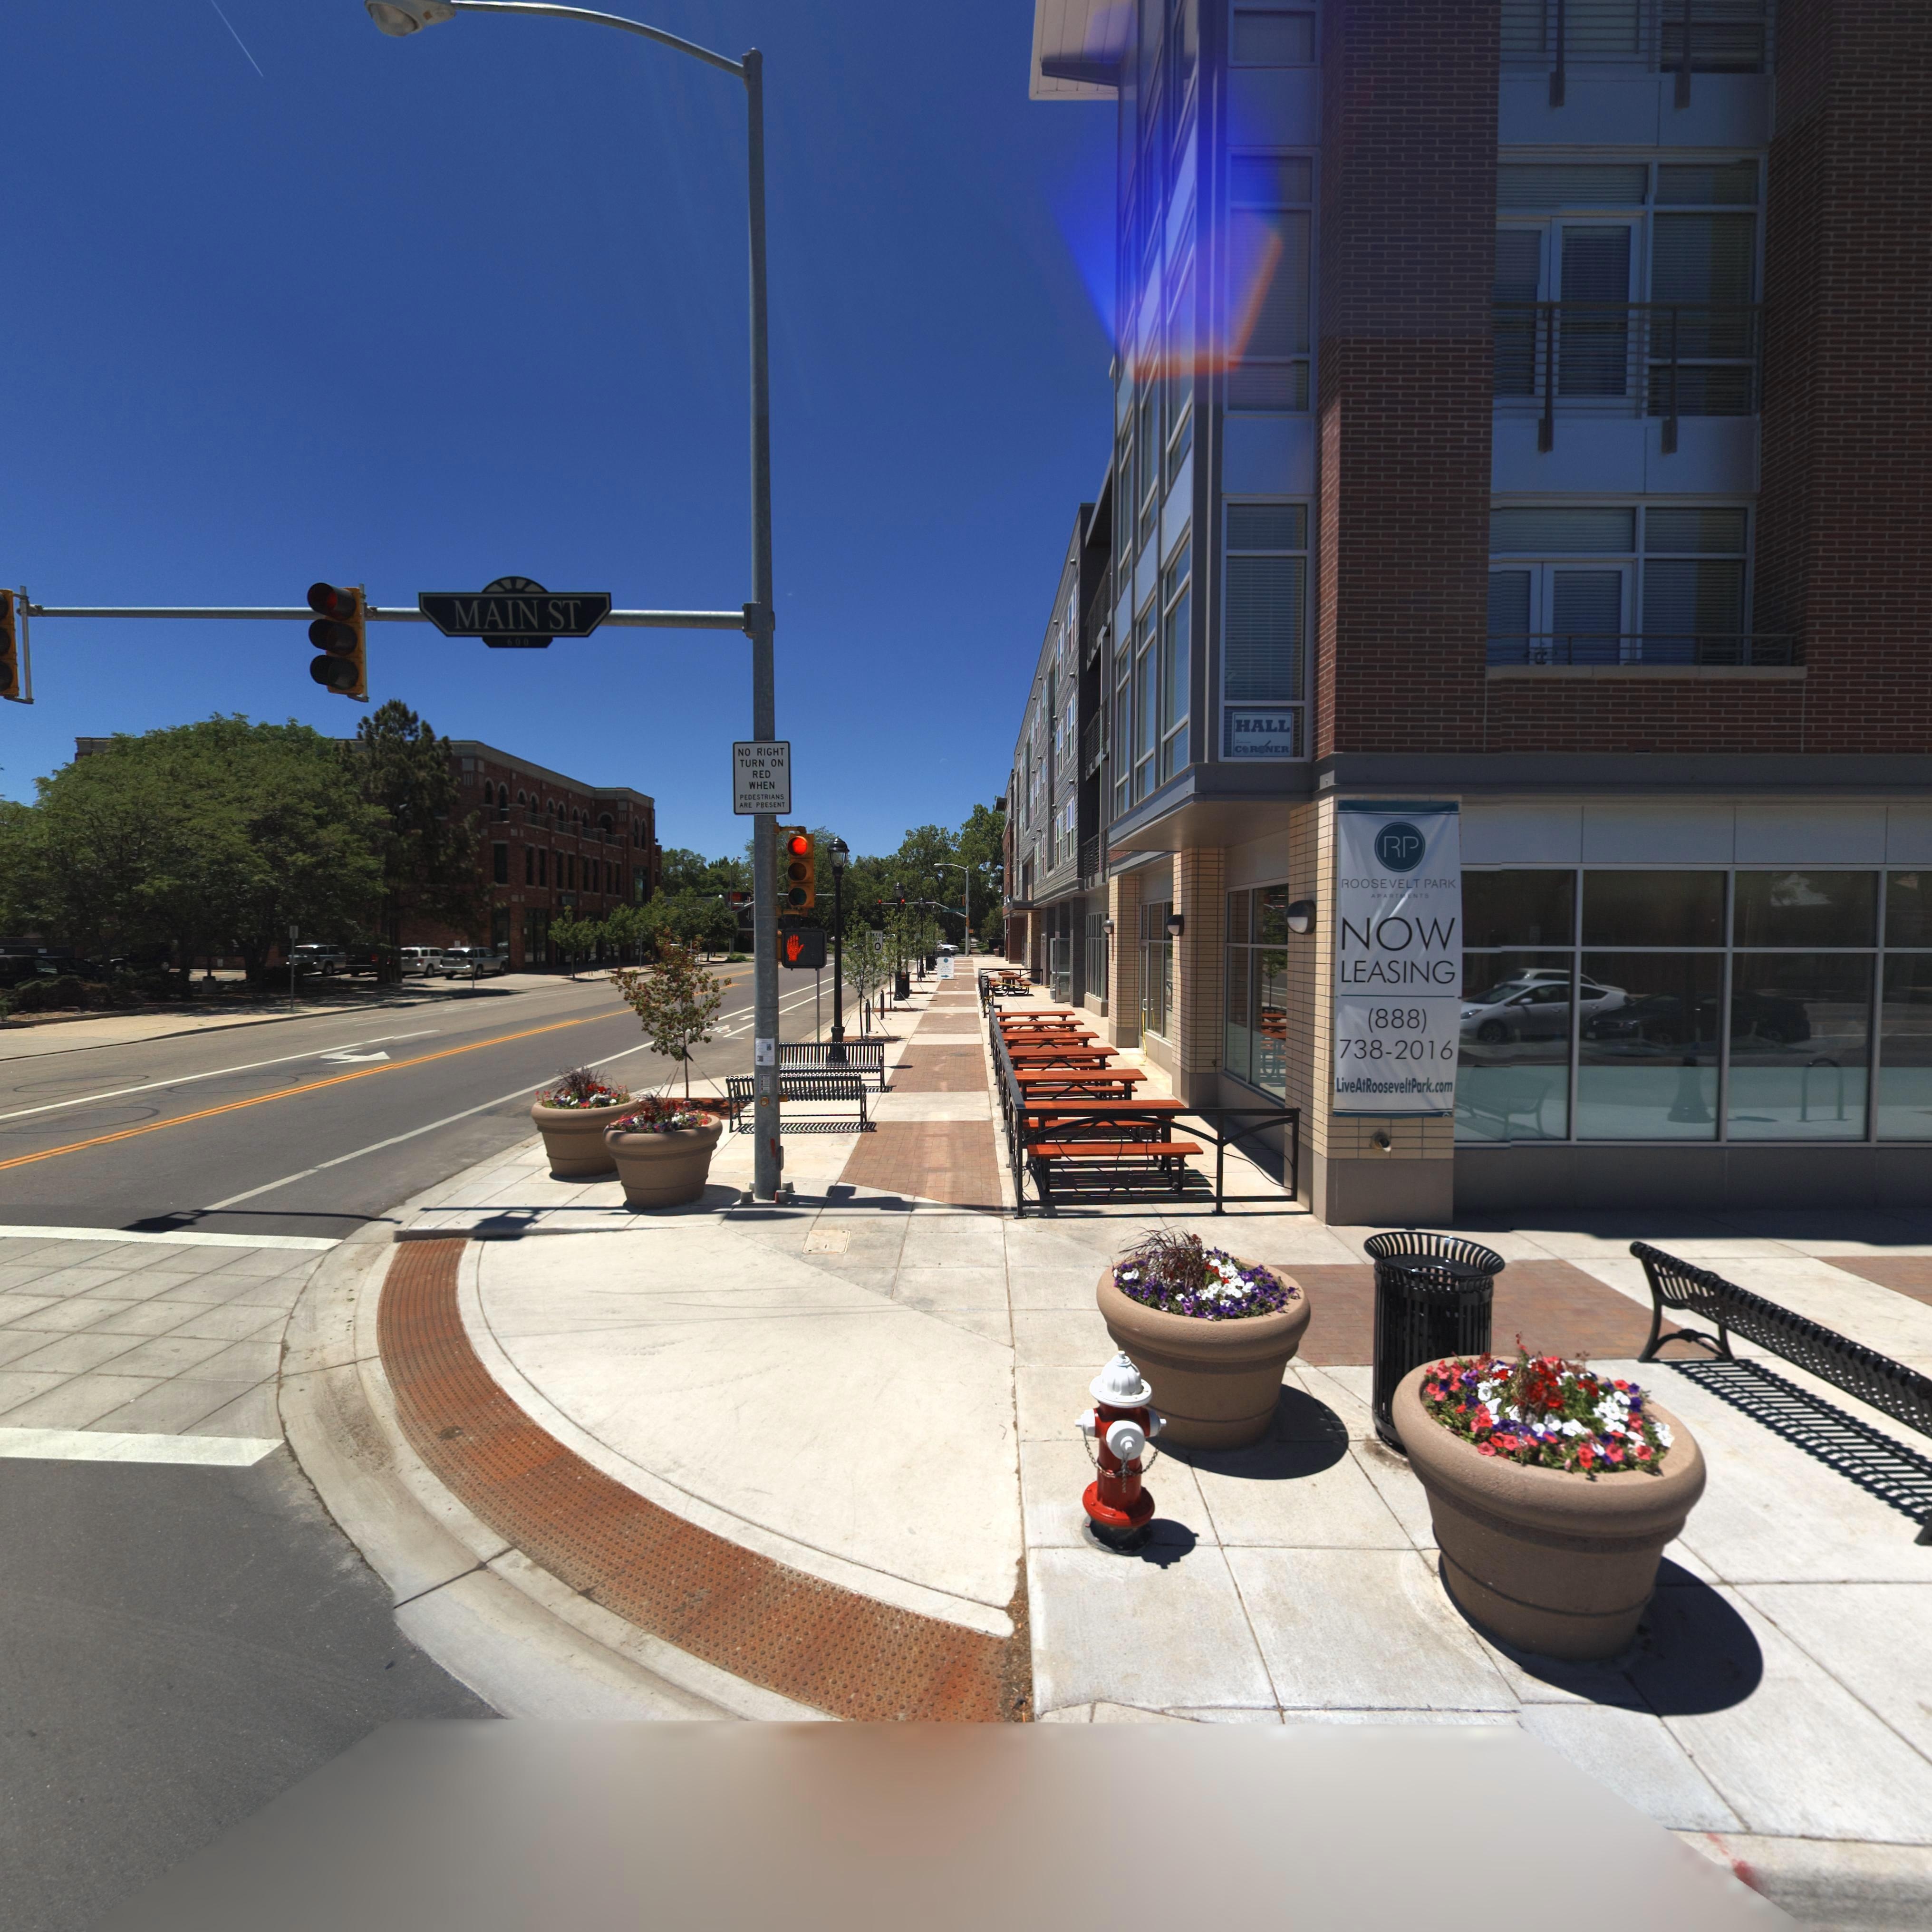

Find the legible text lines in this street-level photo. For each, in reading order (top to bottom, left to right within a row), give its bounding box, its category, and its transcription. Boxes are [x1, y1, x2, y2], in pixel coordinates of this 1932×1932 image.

[453, 599, 582, 629] StreetName: MAIN ST
[506, 637, 529, 647] StreetNumberRange: 600